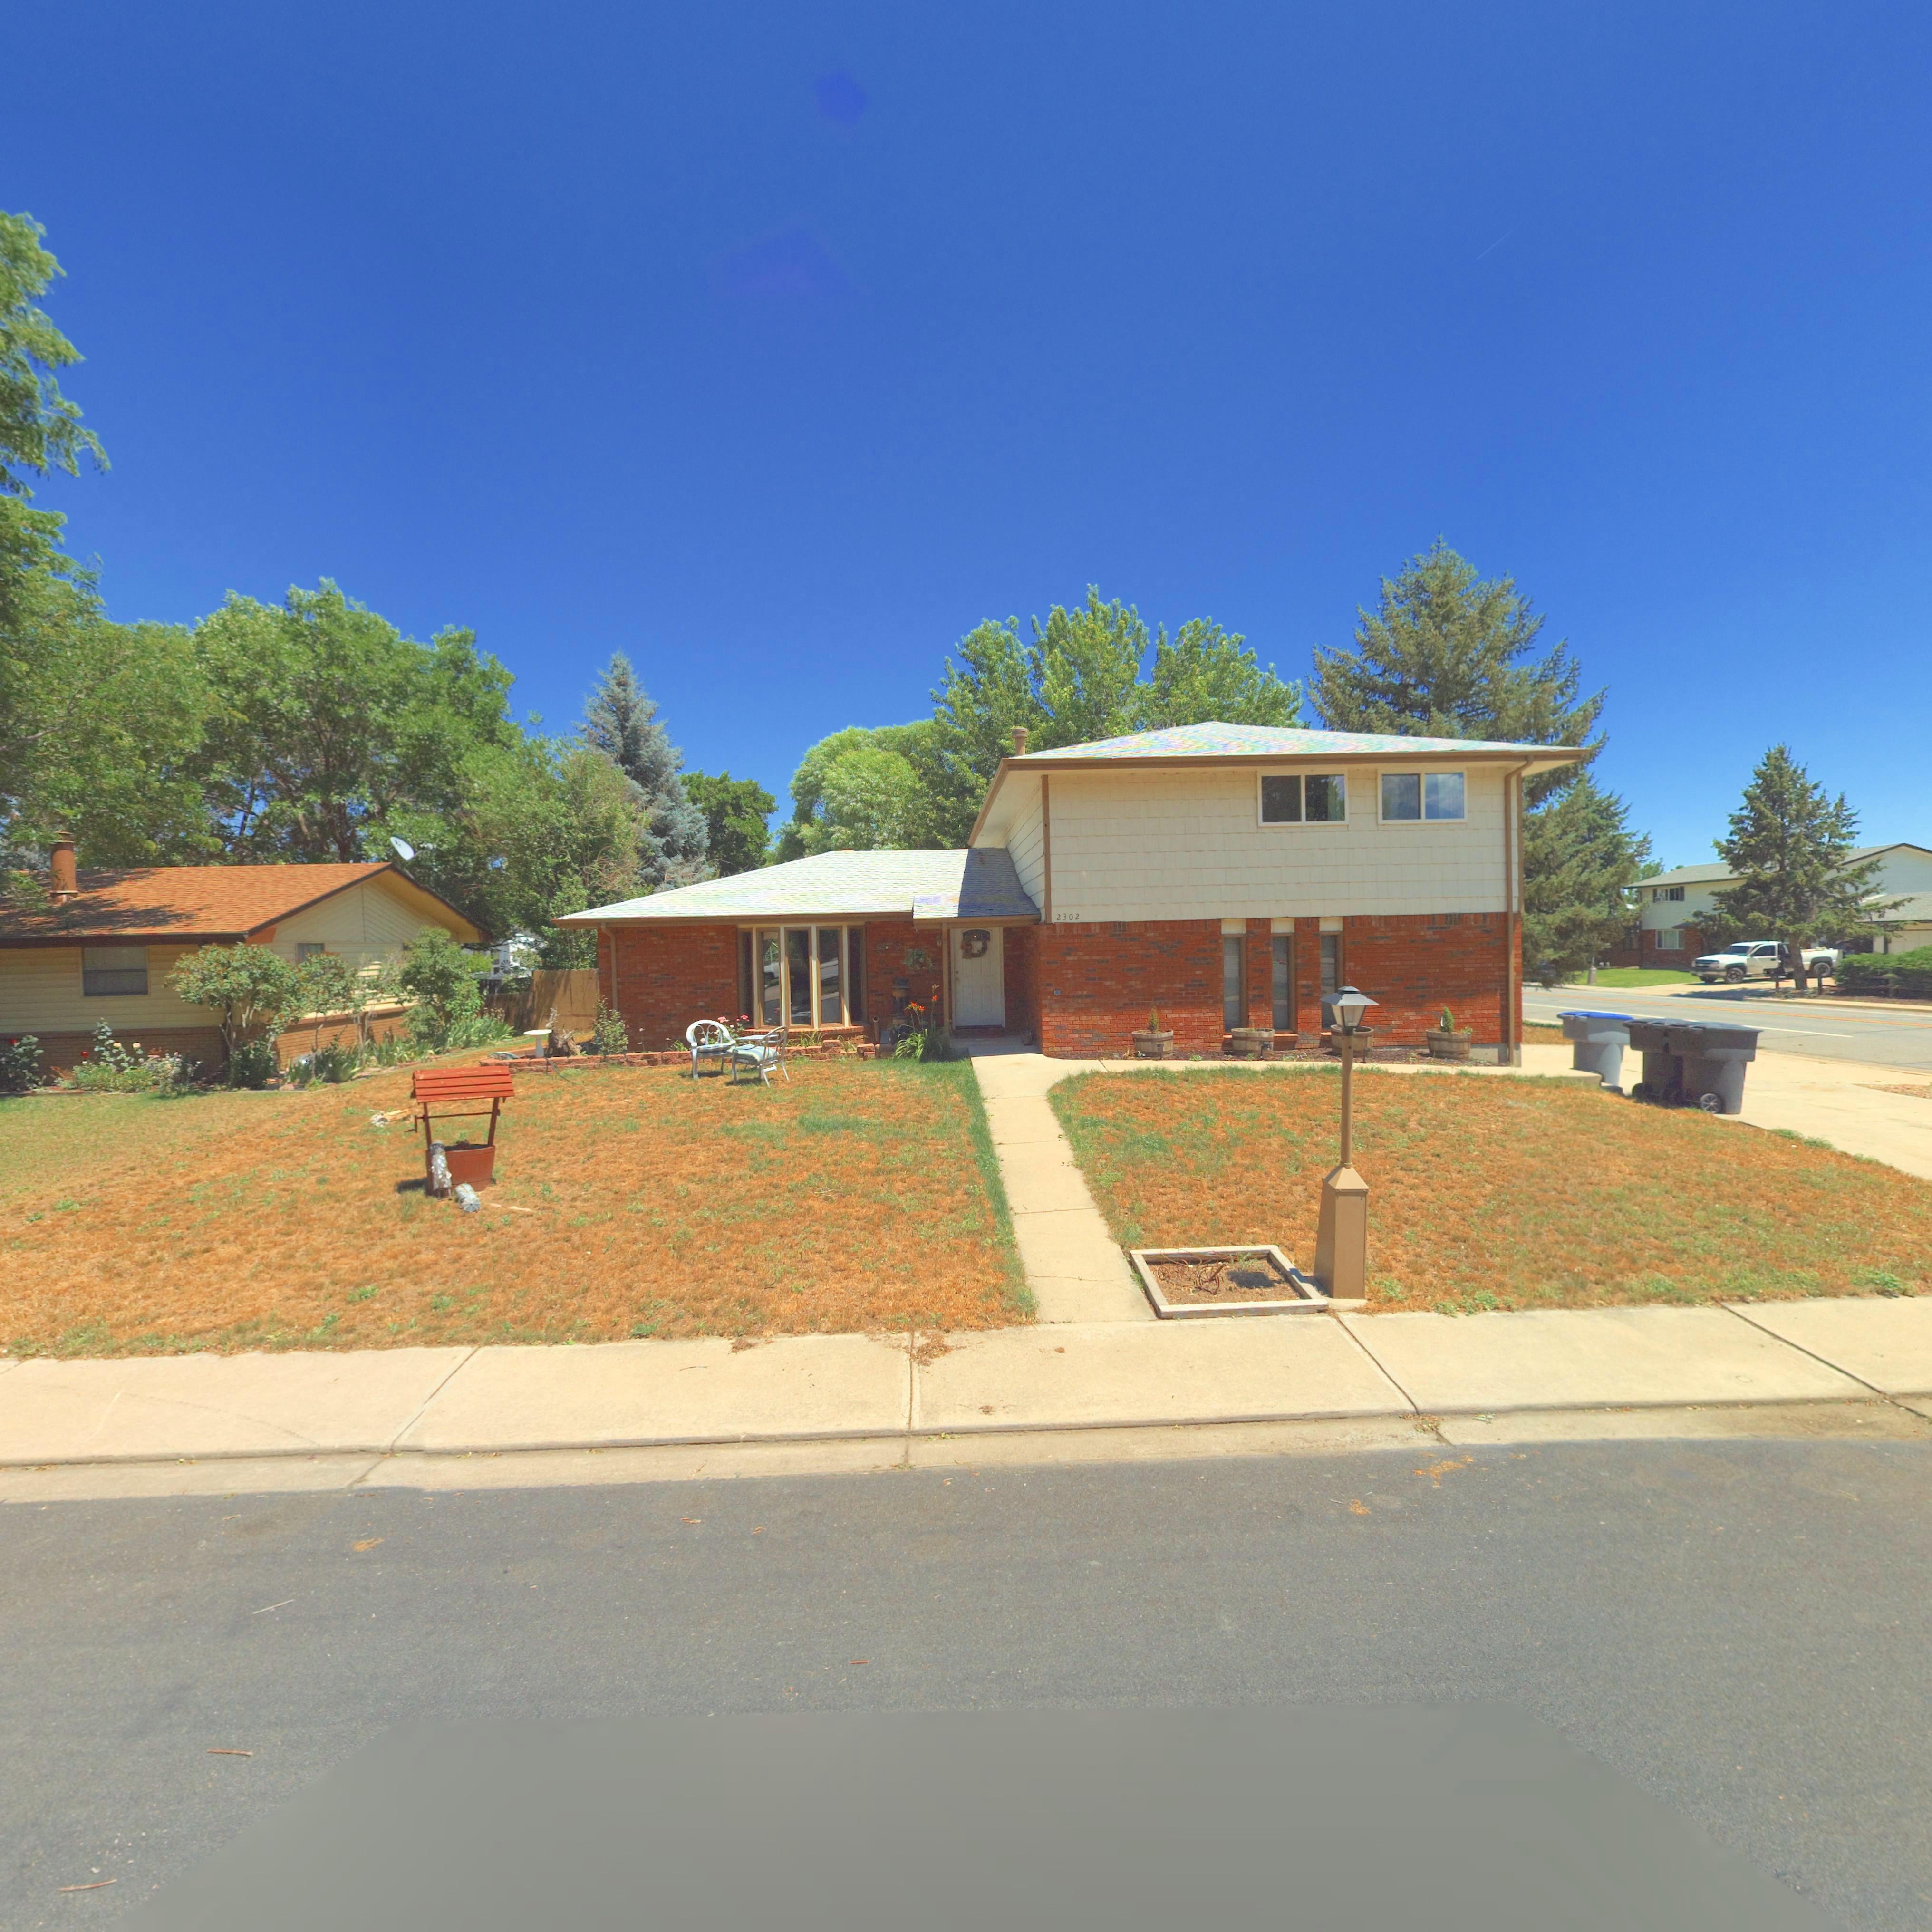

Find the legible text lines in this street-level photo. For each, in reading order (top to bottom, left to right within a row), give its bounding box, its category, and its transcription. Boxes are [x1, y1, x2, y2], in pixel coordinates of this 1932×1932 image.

[1056, 913, 1080, 920] StreetNumber: 2302